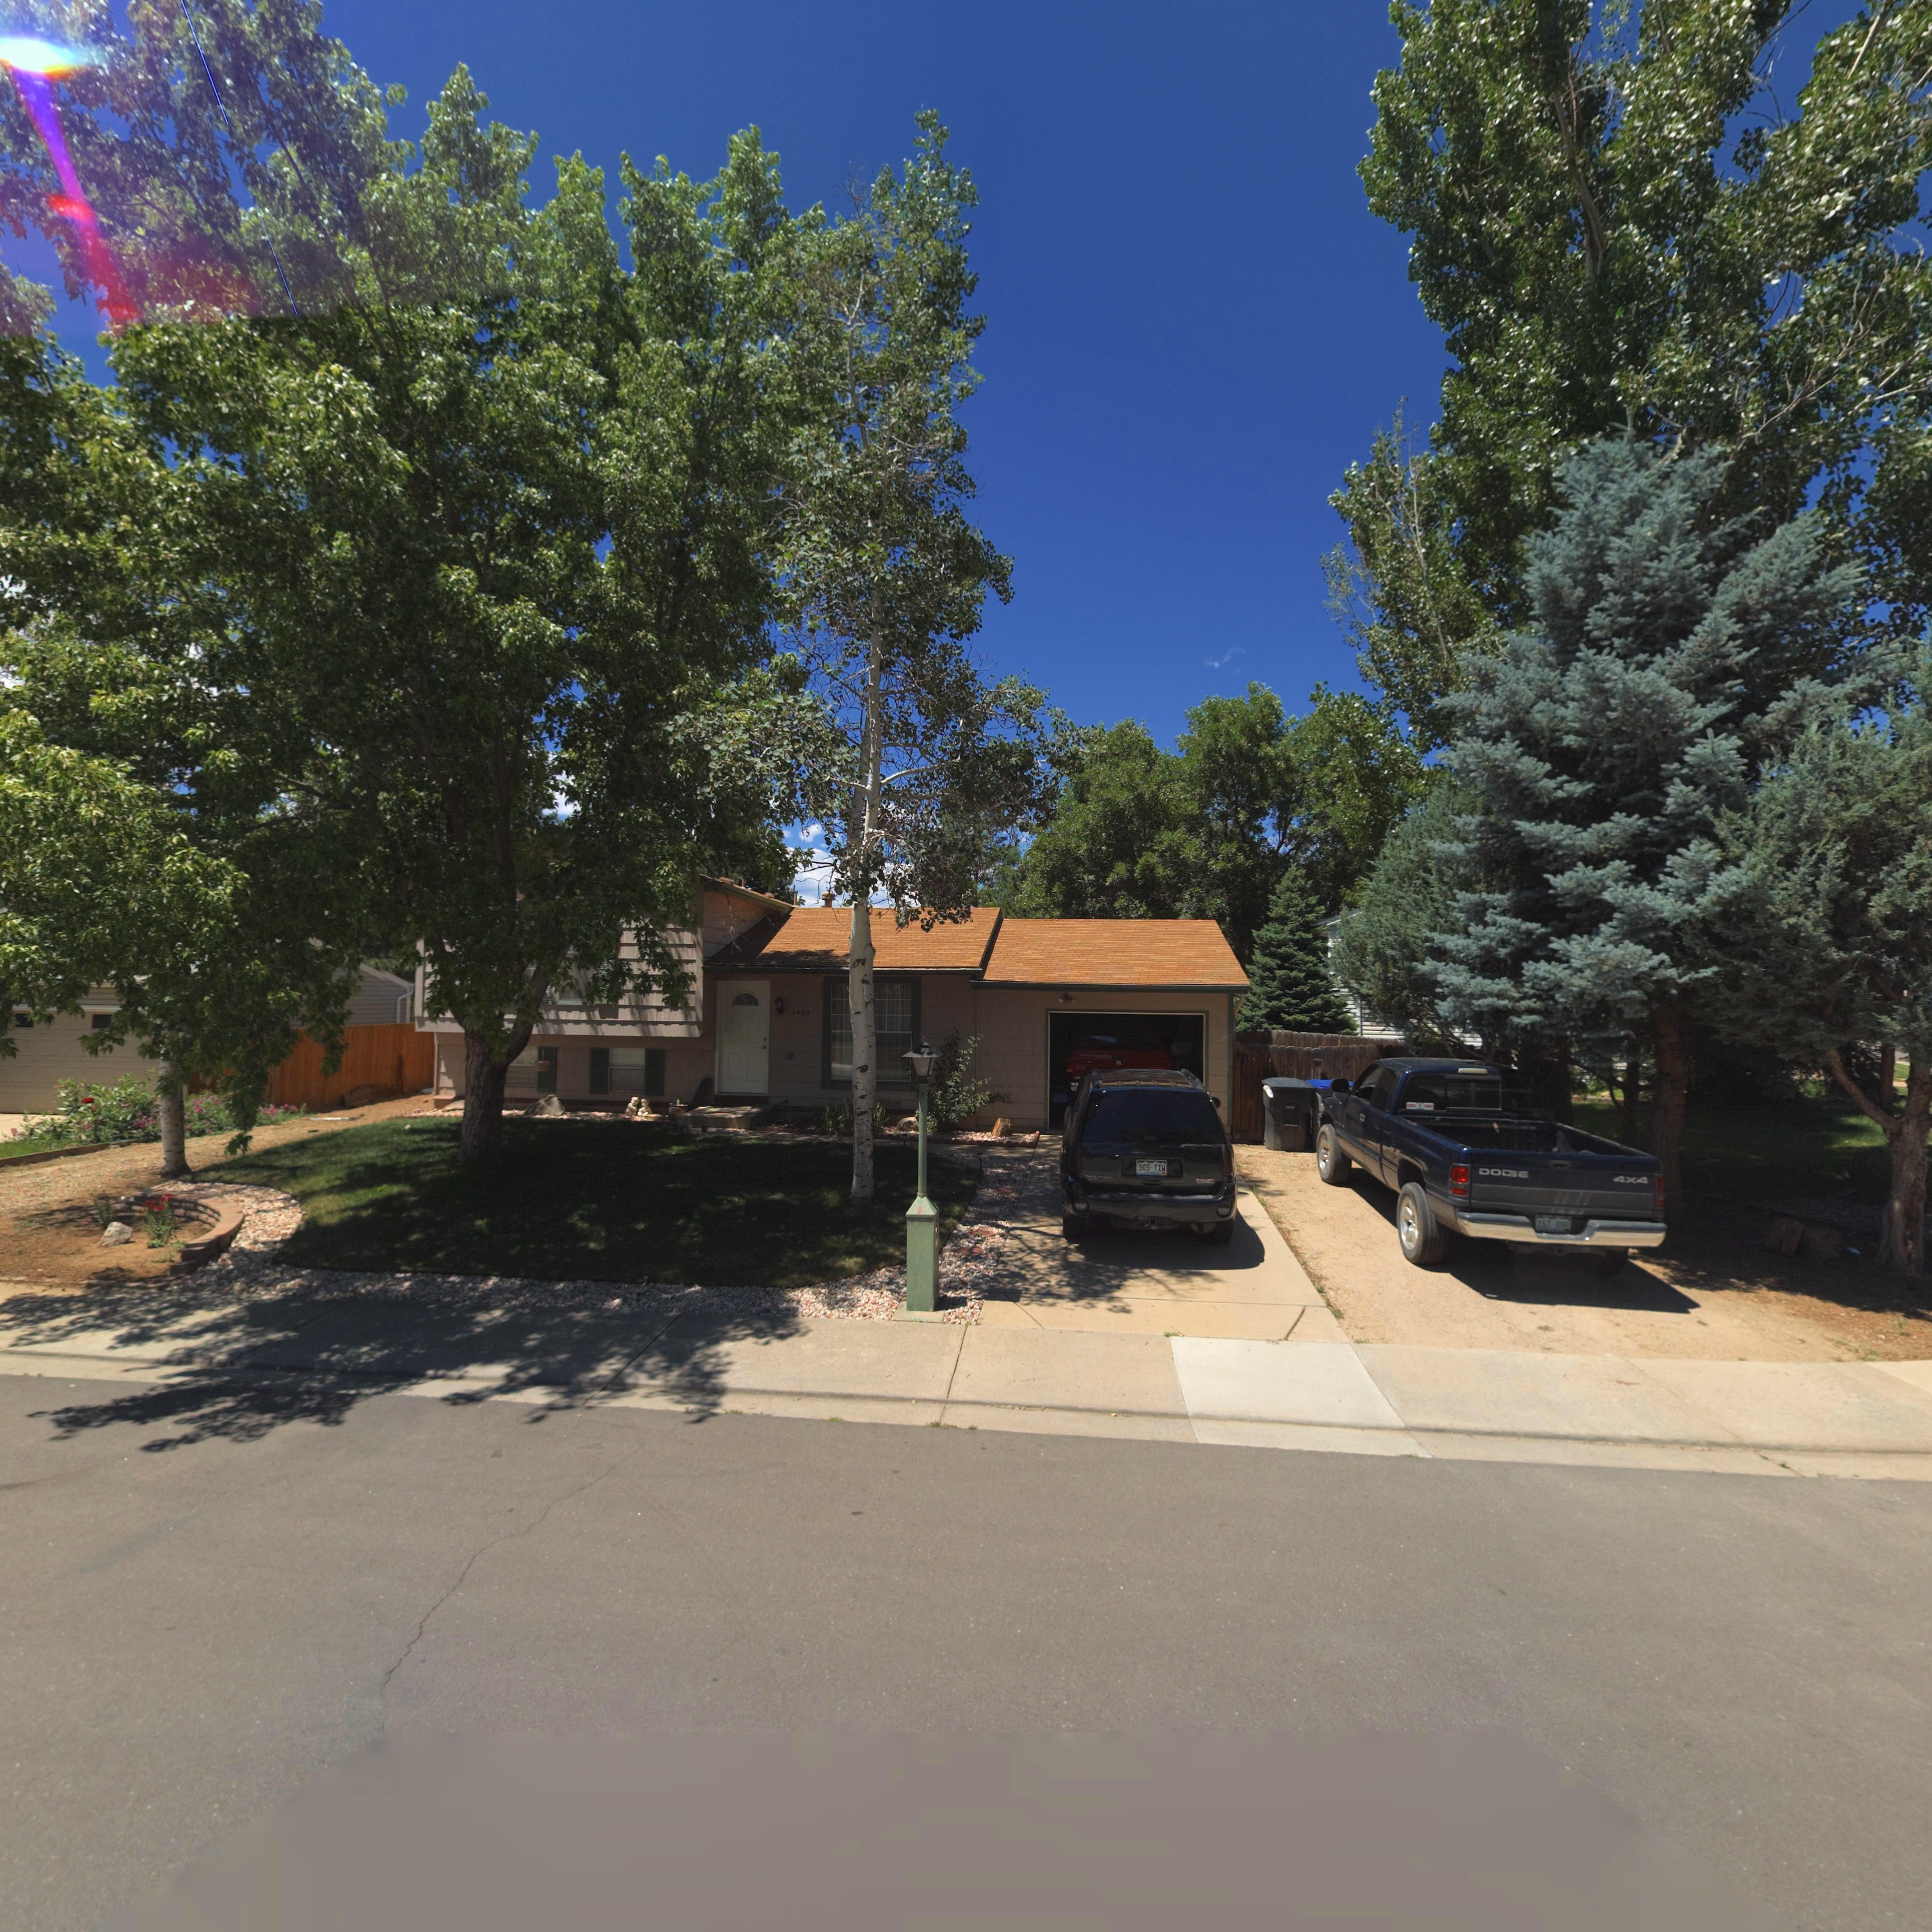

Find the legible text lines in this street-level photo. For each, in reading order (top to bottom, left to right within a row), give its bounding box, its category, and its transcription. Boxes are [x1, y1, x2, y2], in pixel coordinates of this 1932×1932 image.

[791, 1009, 811, 1016] StreetNumber: 2409